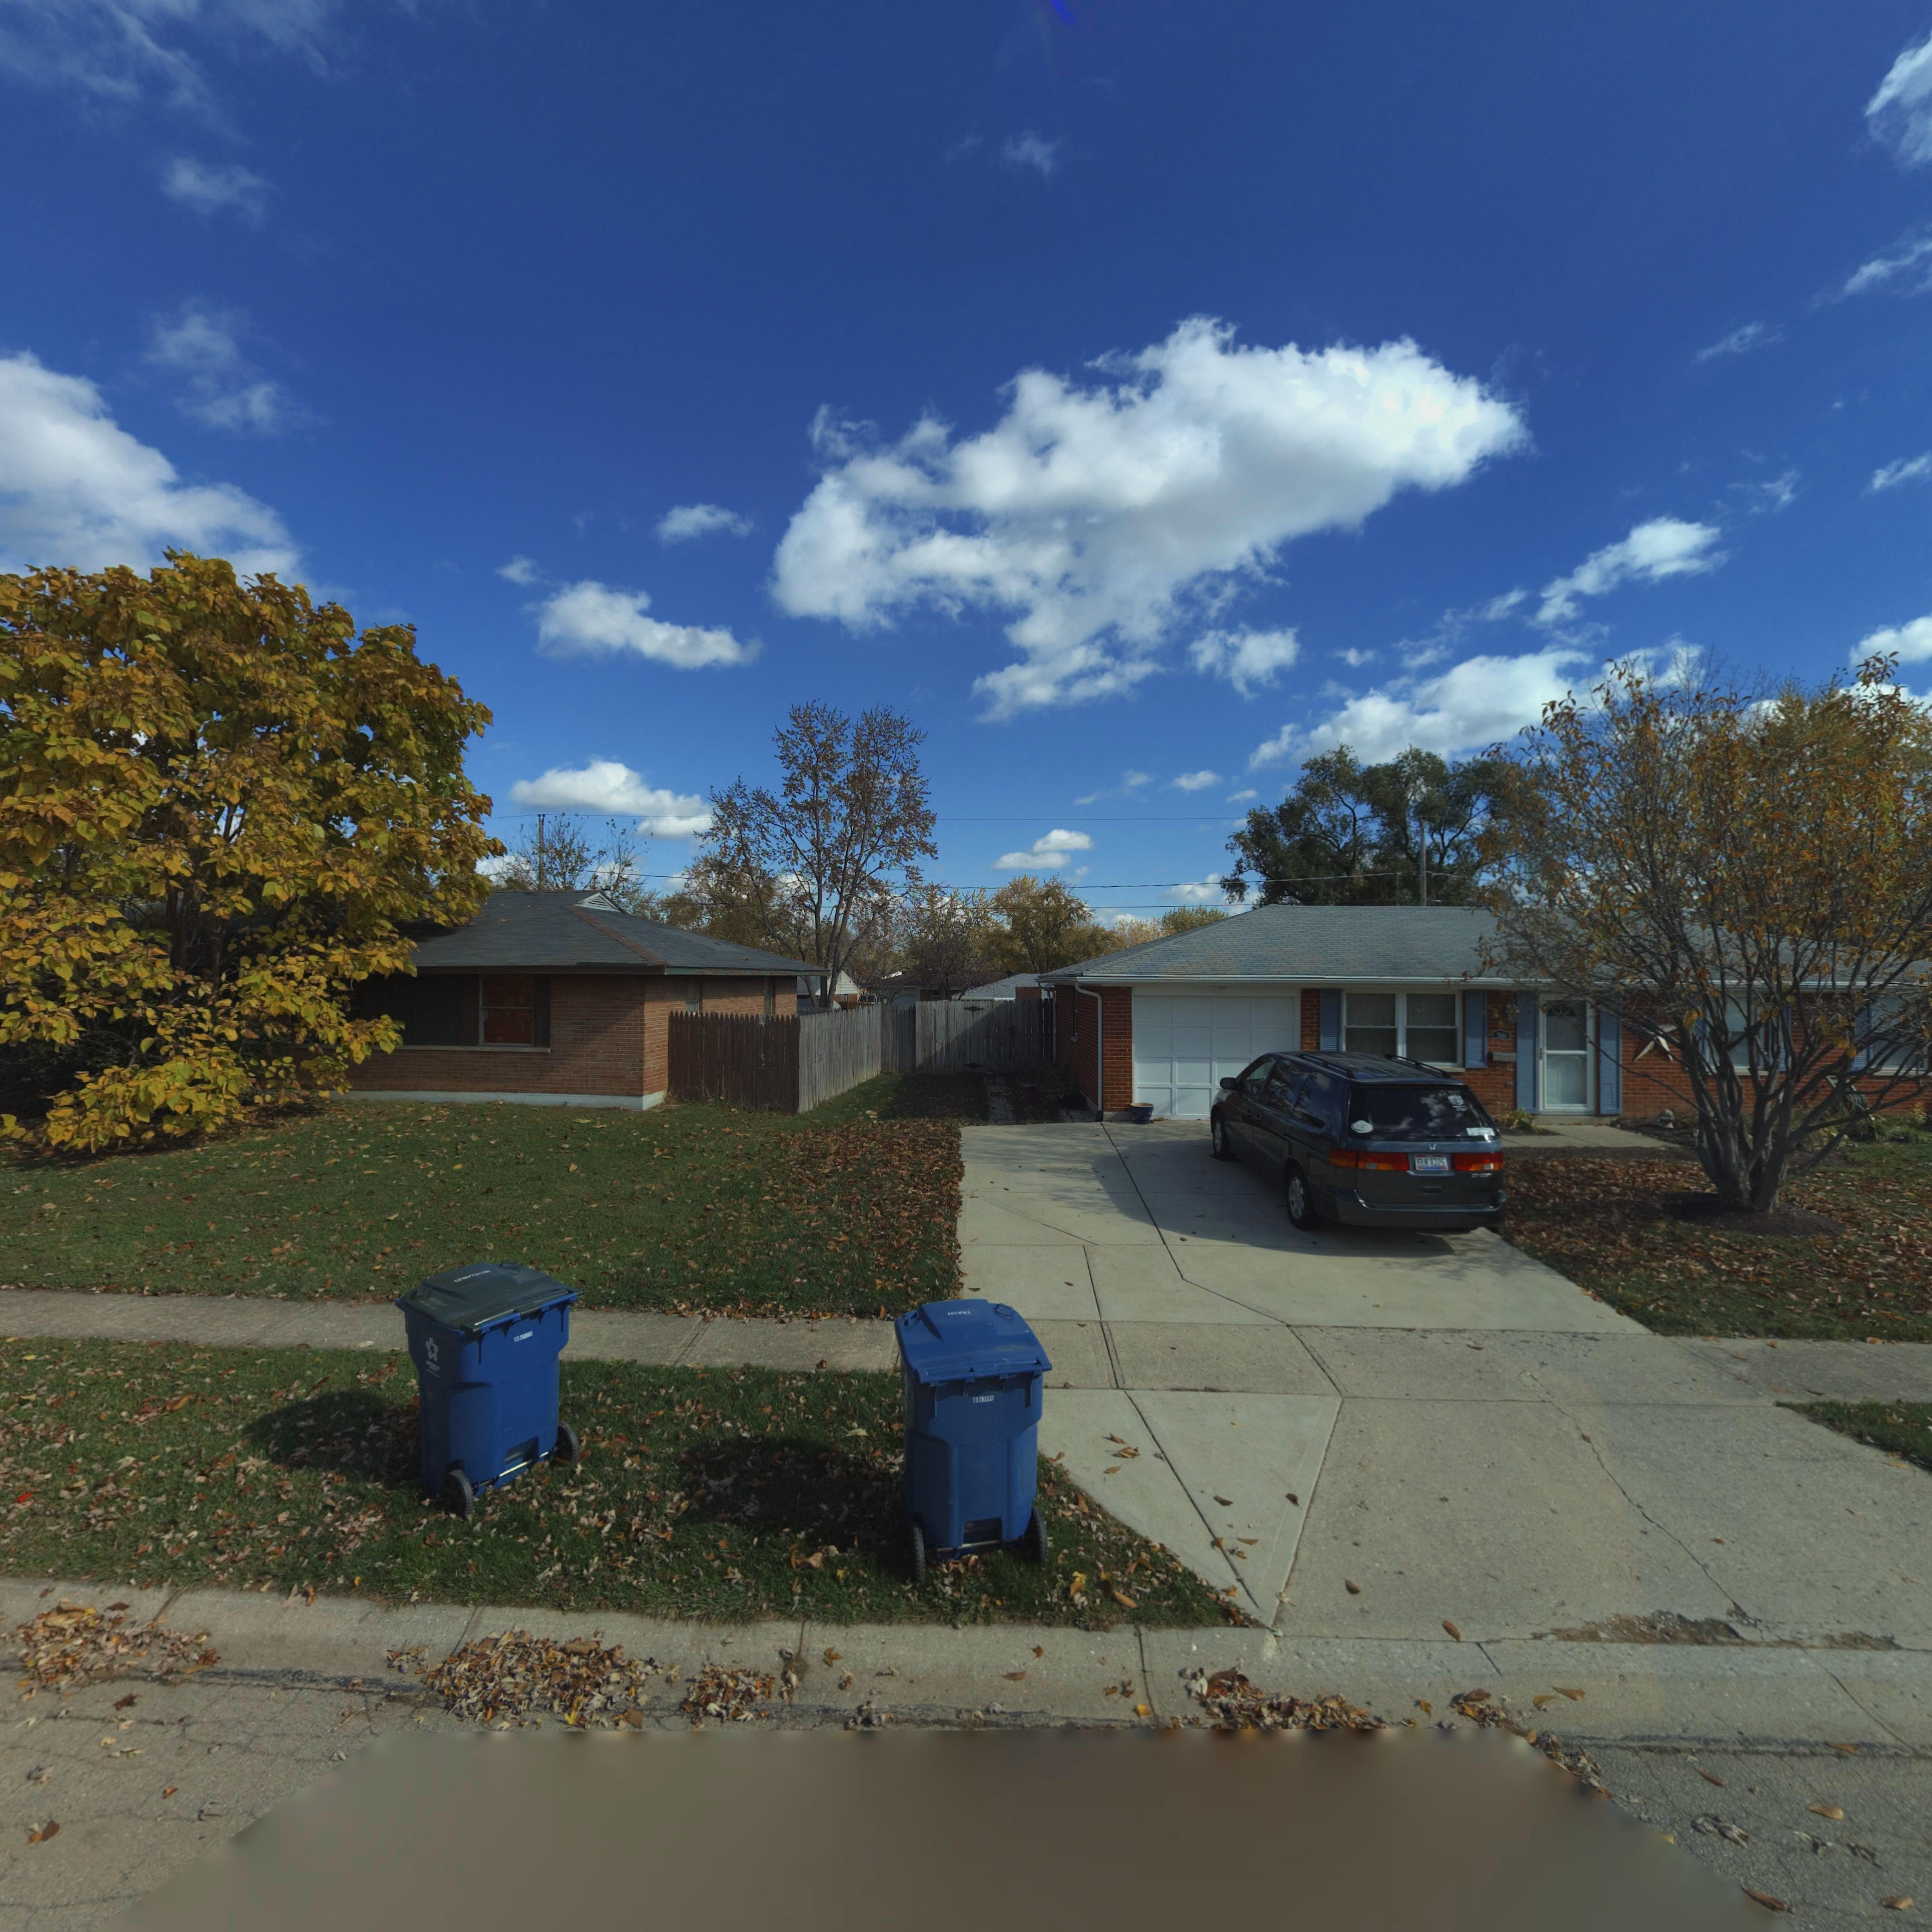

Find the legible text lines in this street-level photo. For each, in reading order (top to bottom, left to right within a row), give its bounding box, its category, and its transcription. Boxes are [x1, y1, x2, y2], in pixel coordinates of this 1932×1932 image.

[1497, 1032, 1507, 1038] StreetNumber: 7***